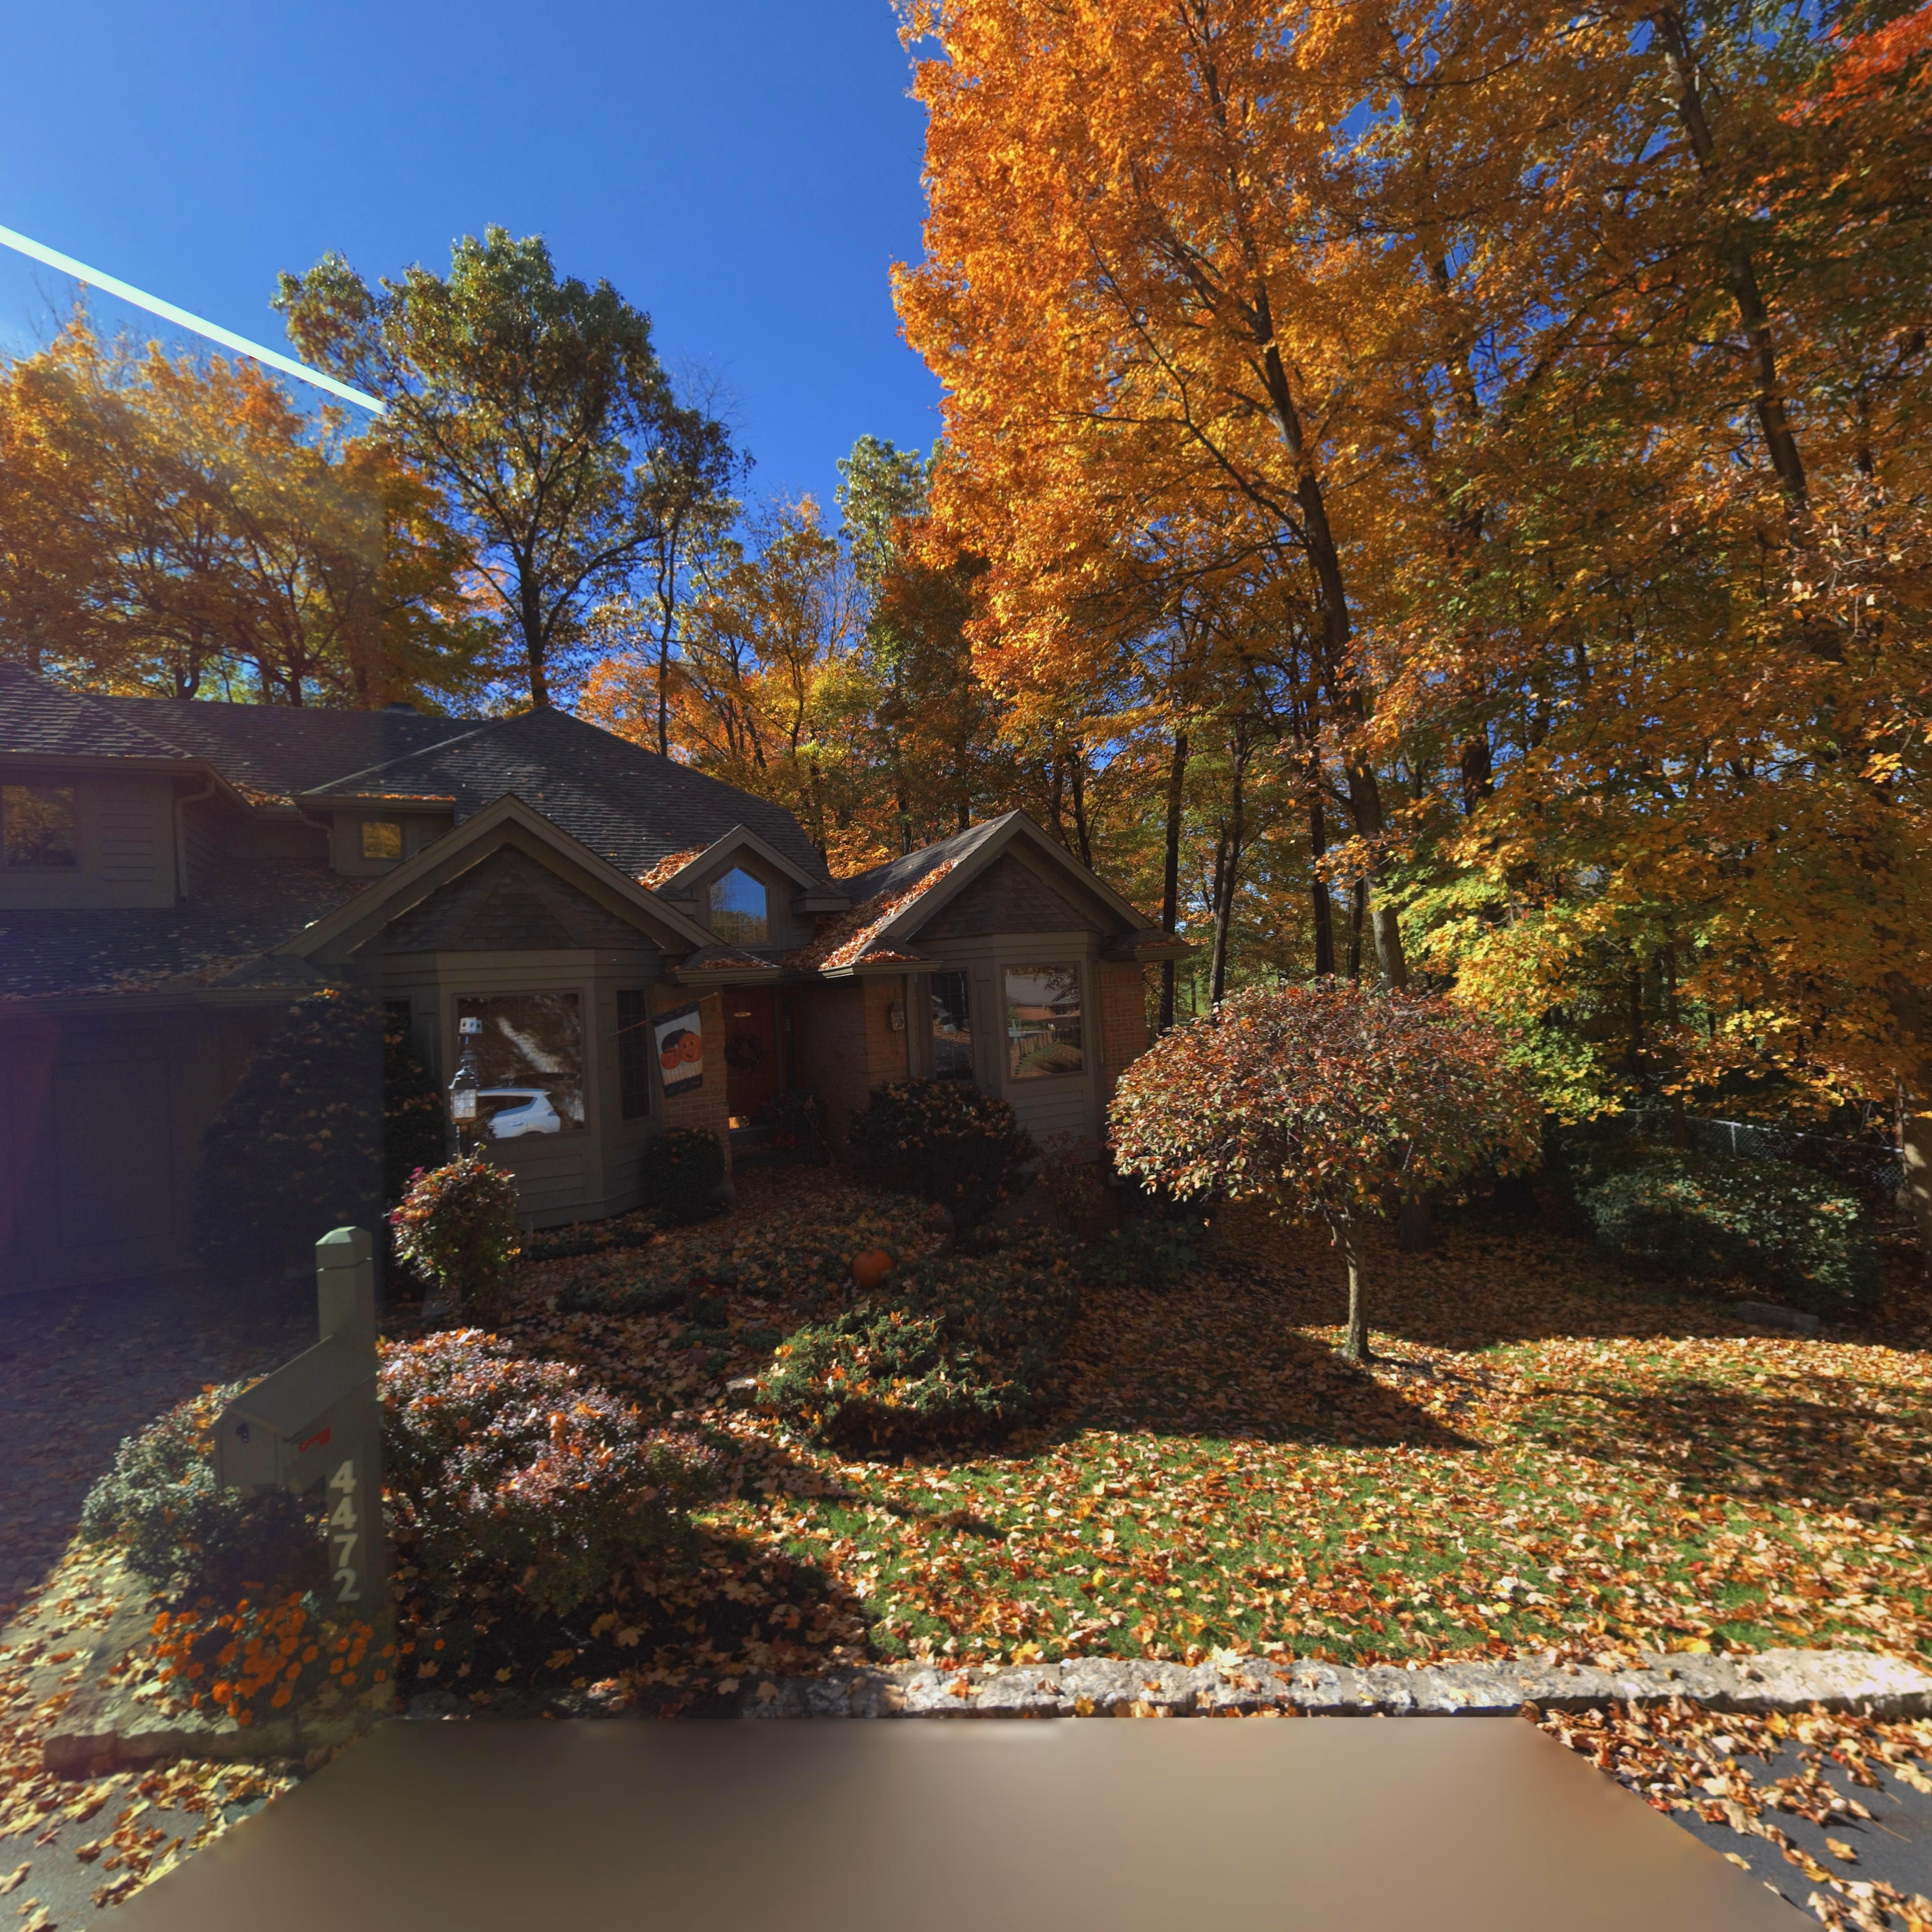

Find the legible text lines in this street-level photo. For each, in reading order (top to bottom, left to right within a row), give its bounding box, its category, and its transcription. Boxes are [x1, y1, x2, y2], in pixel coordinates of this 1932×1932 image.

[325, 1455, 366, 1609] StreetNumber: 4472